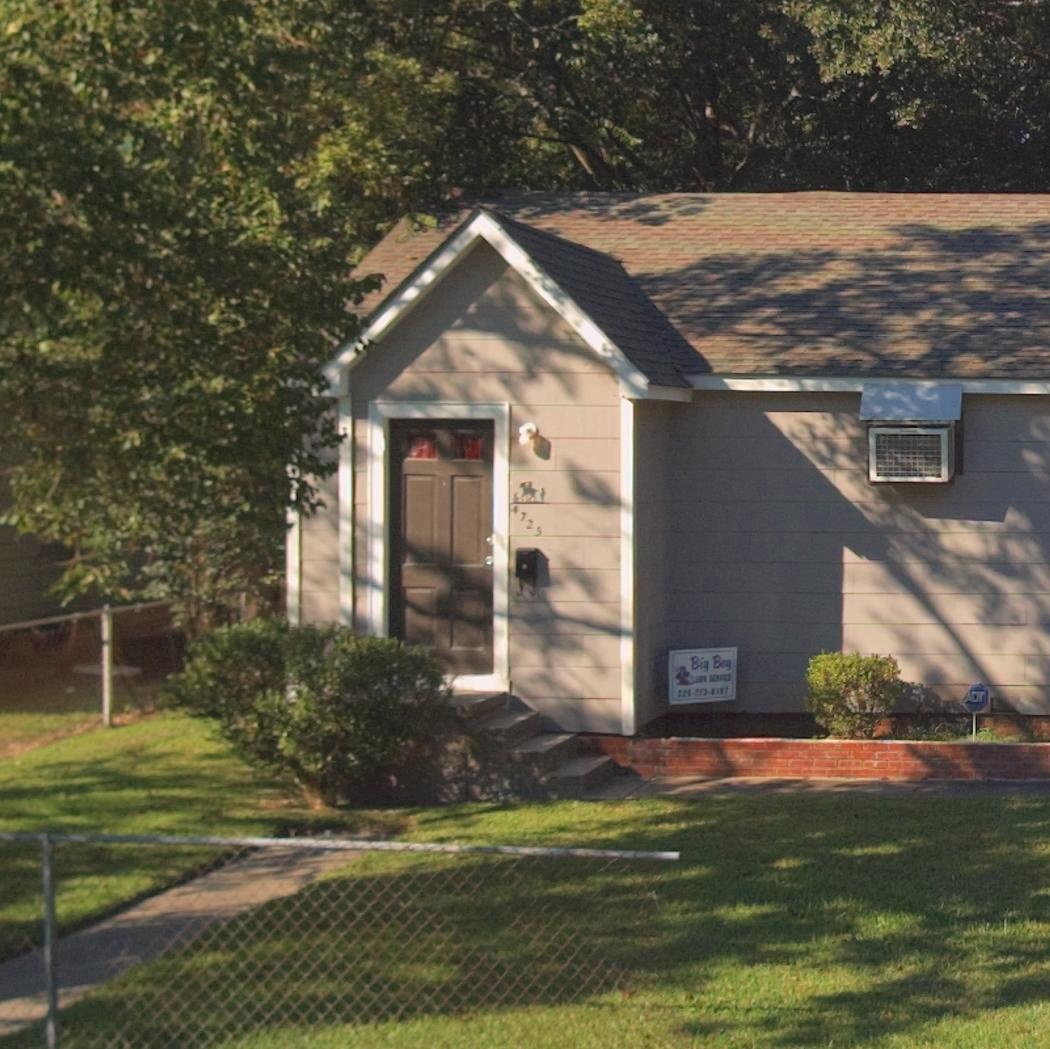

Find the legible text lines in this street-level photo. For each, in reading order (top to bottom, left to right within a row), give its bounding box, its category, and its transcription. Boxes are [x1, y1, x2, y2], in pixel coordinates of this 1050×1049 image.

[510, 502, 544, 542] StreetNumber: 4725
[689, 653, 734, 673] None: Big Boy
[963, 690, 988, 705] None: ADT